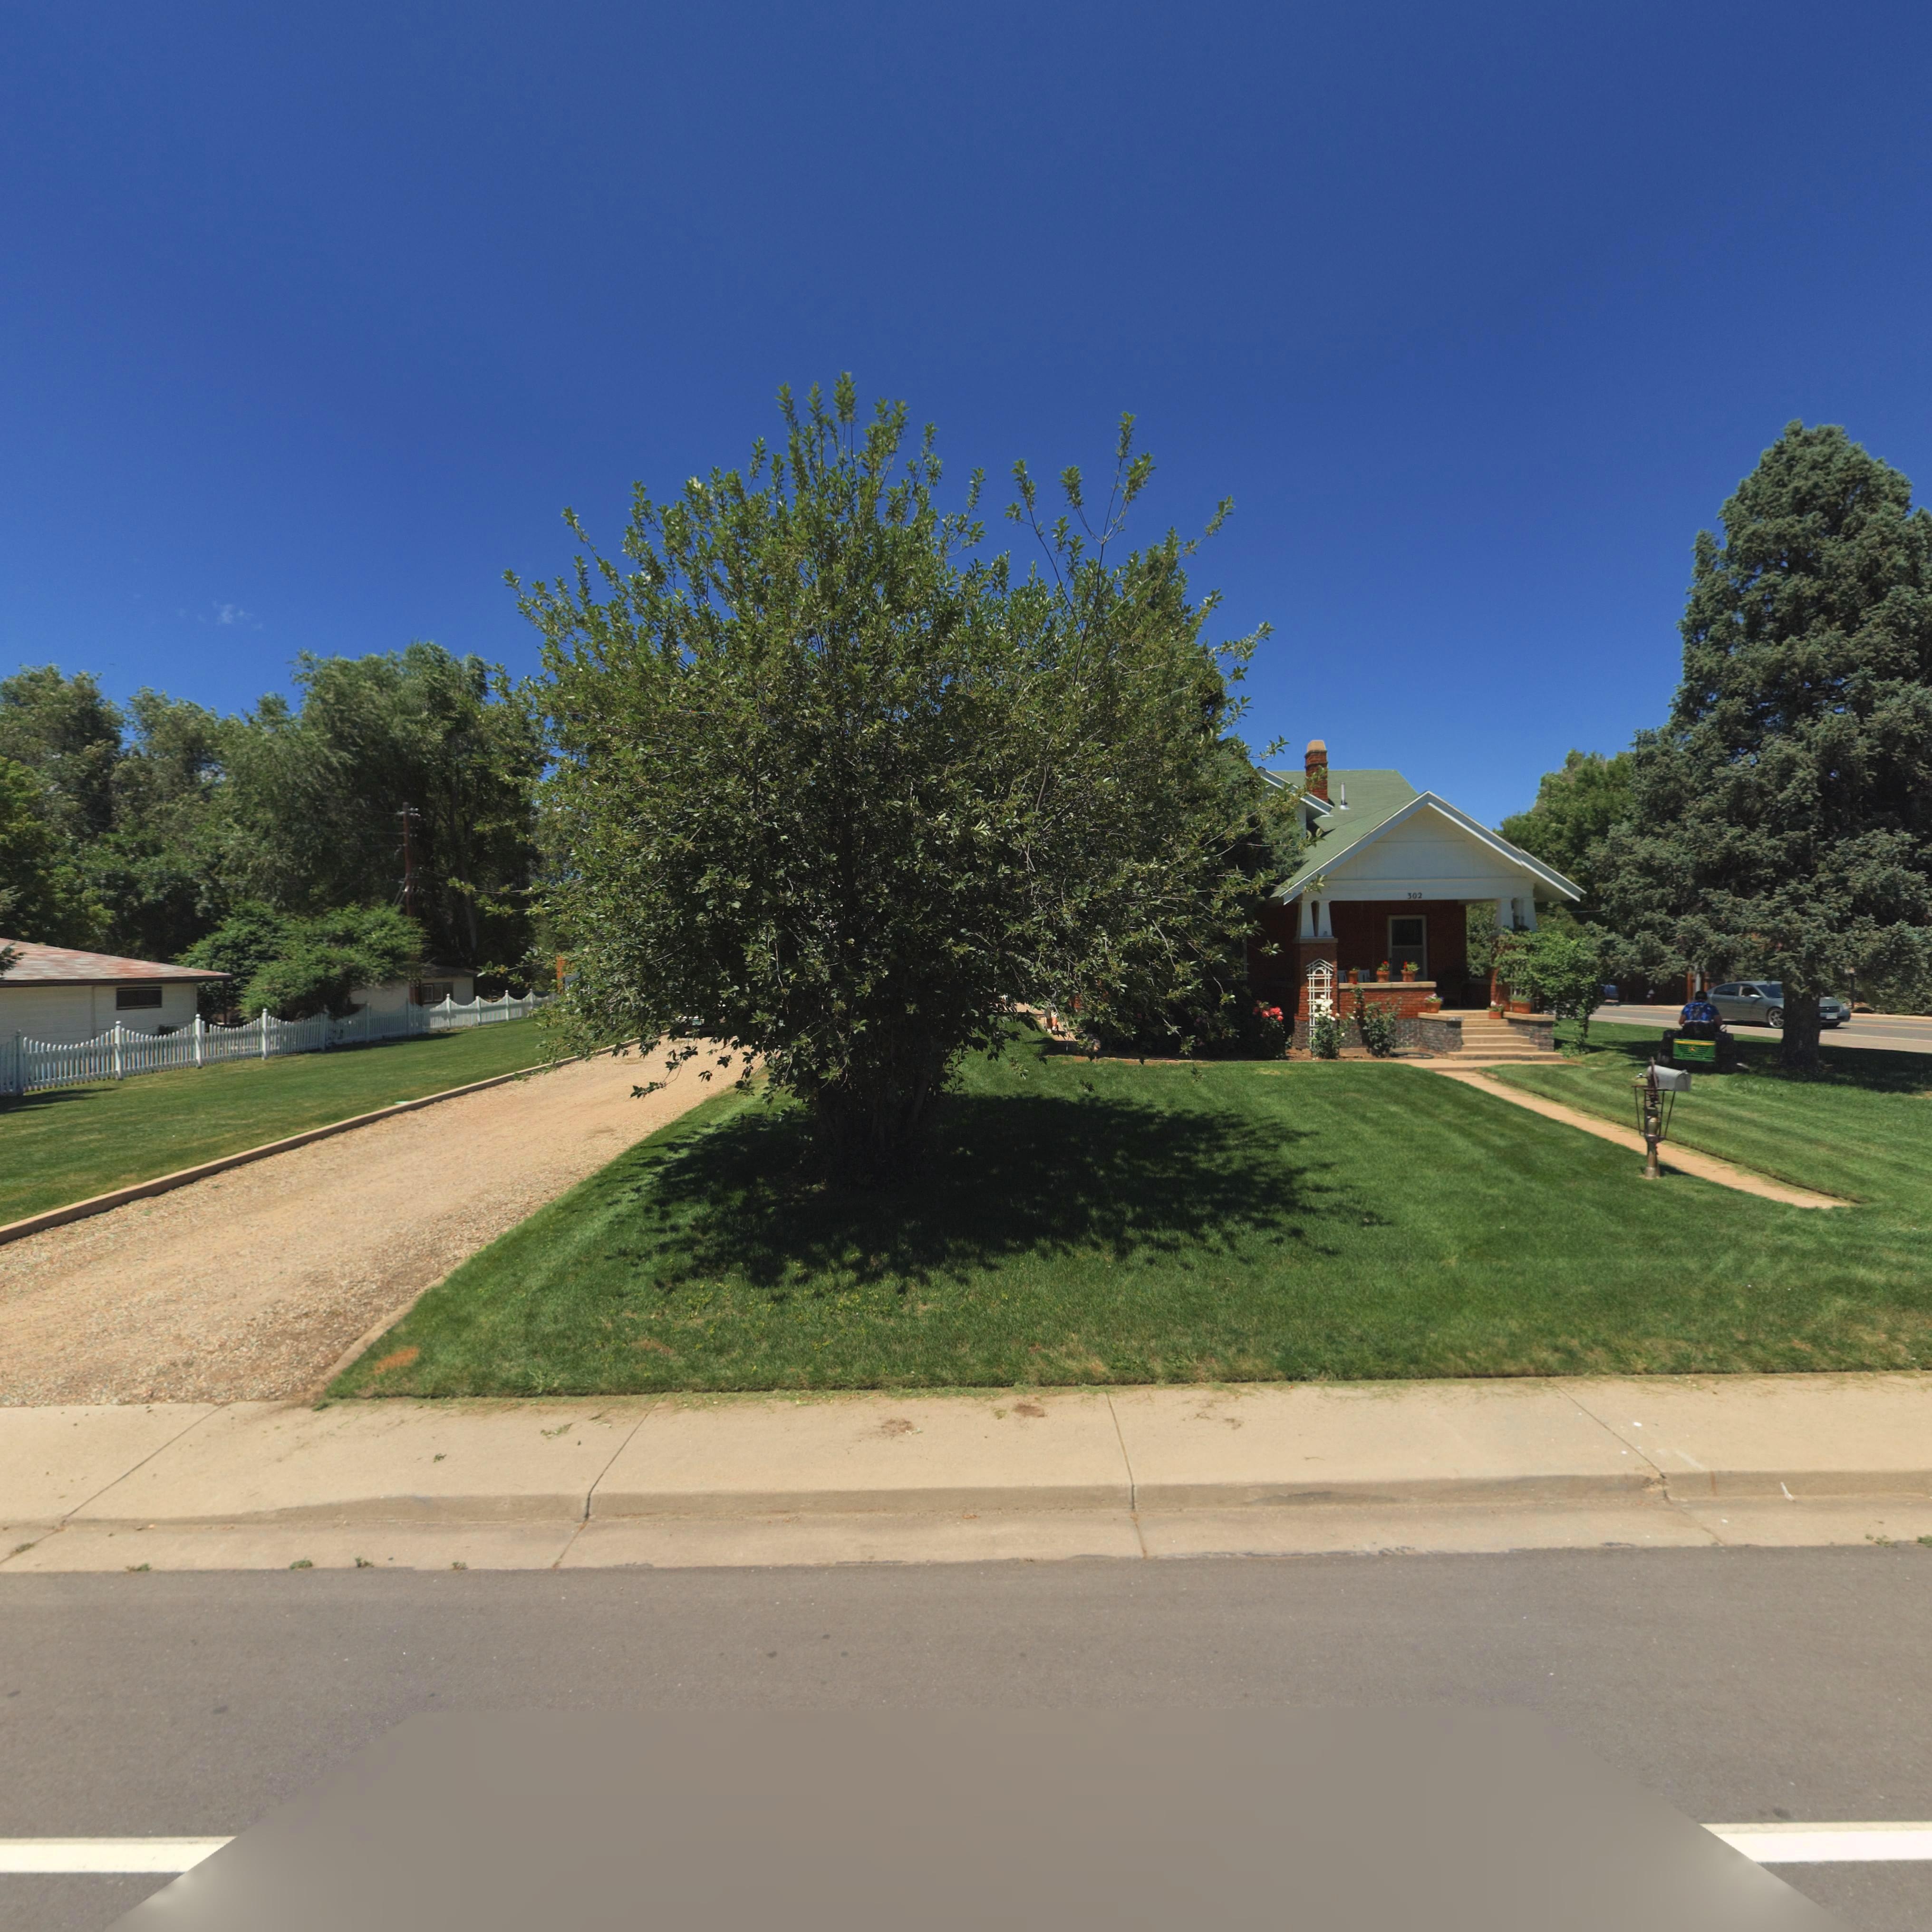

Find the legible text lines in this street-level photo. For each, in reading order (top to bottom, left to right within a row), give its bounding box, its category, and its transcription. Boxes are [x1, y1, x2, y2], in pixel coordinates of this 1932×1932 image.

[1407, 892, 1422, 899] StreetNumber: 302